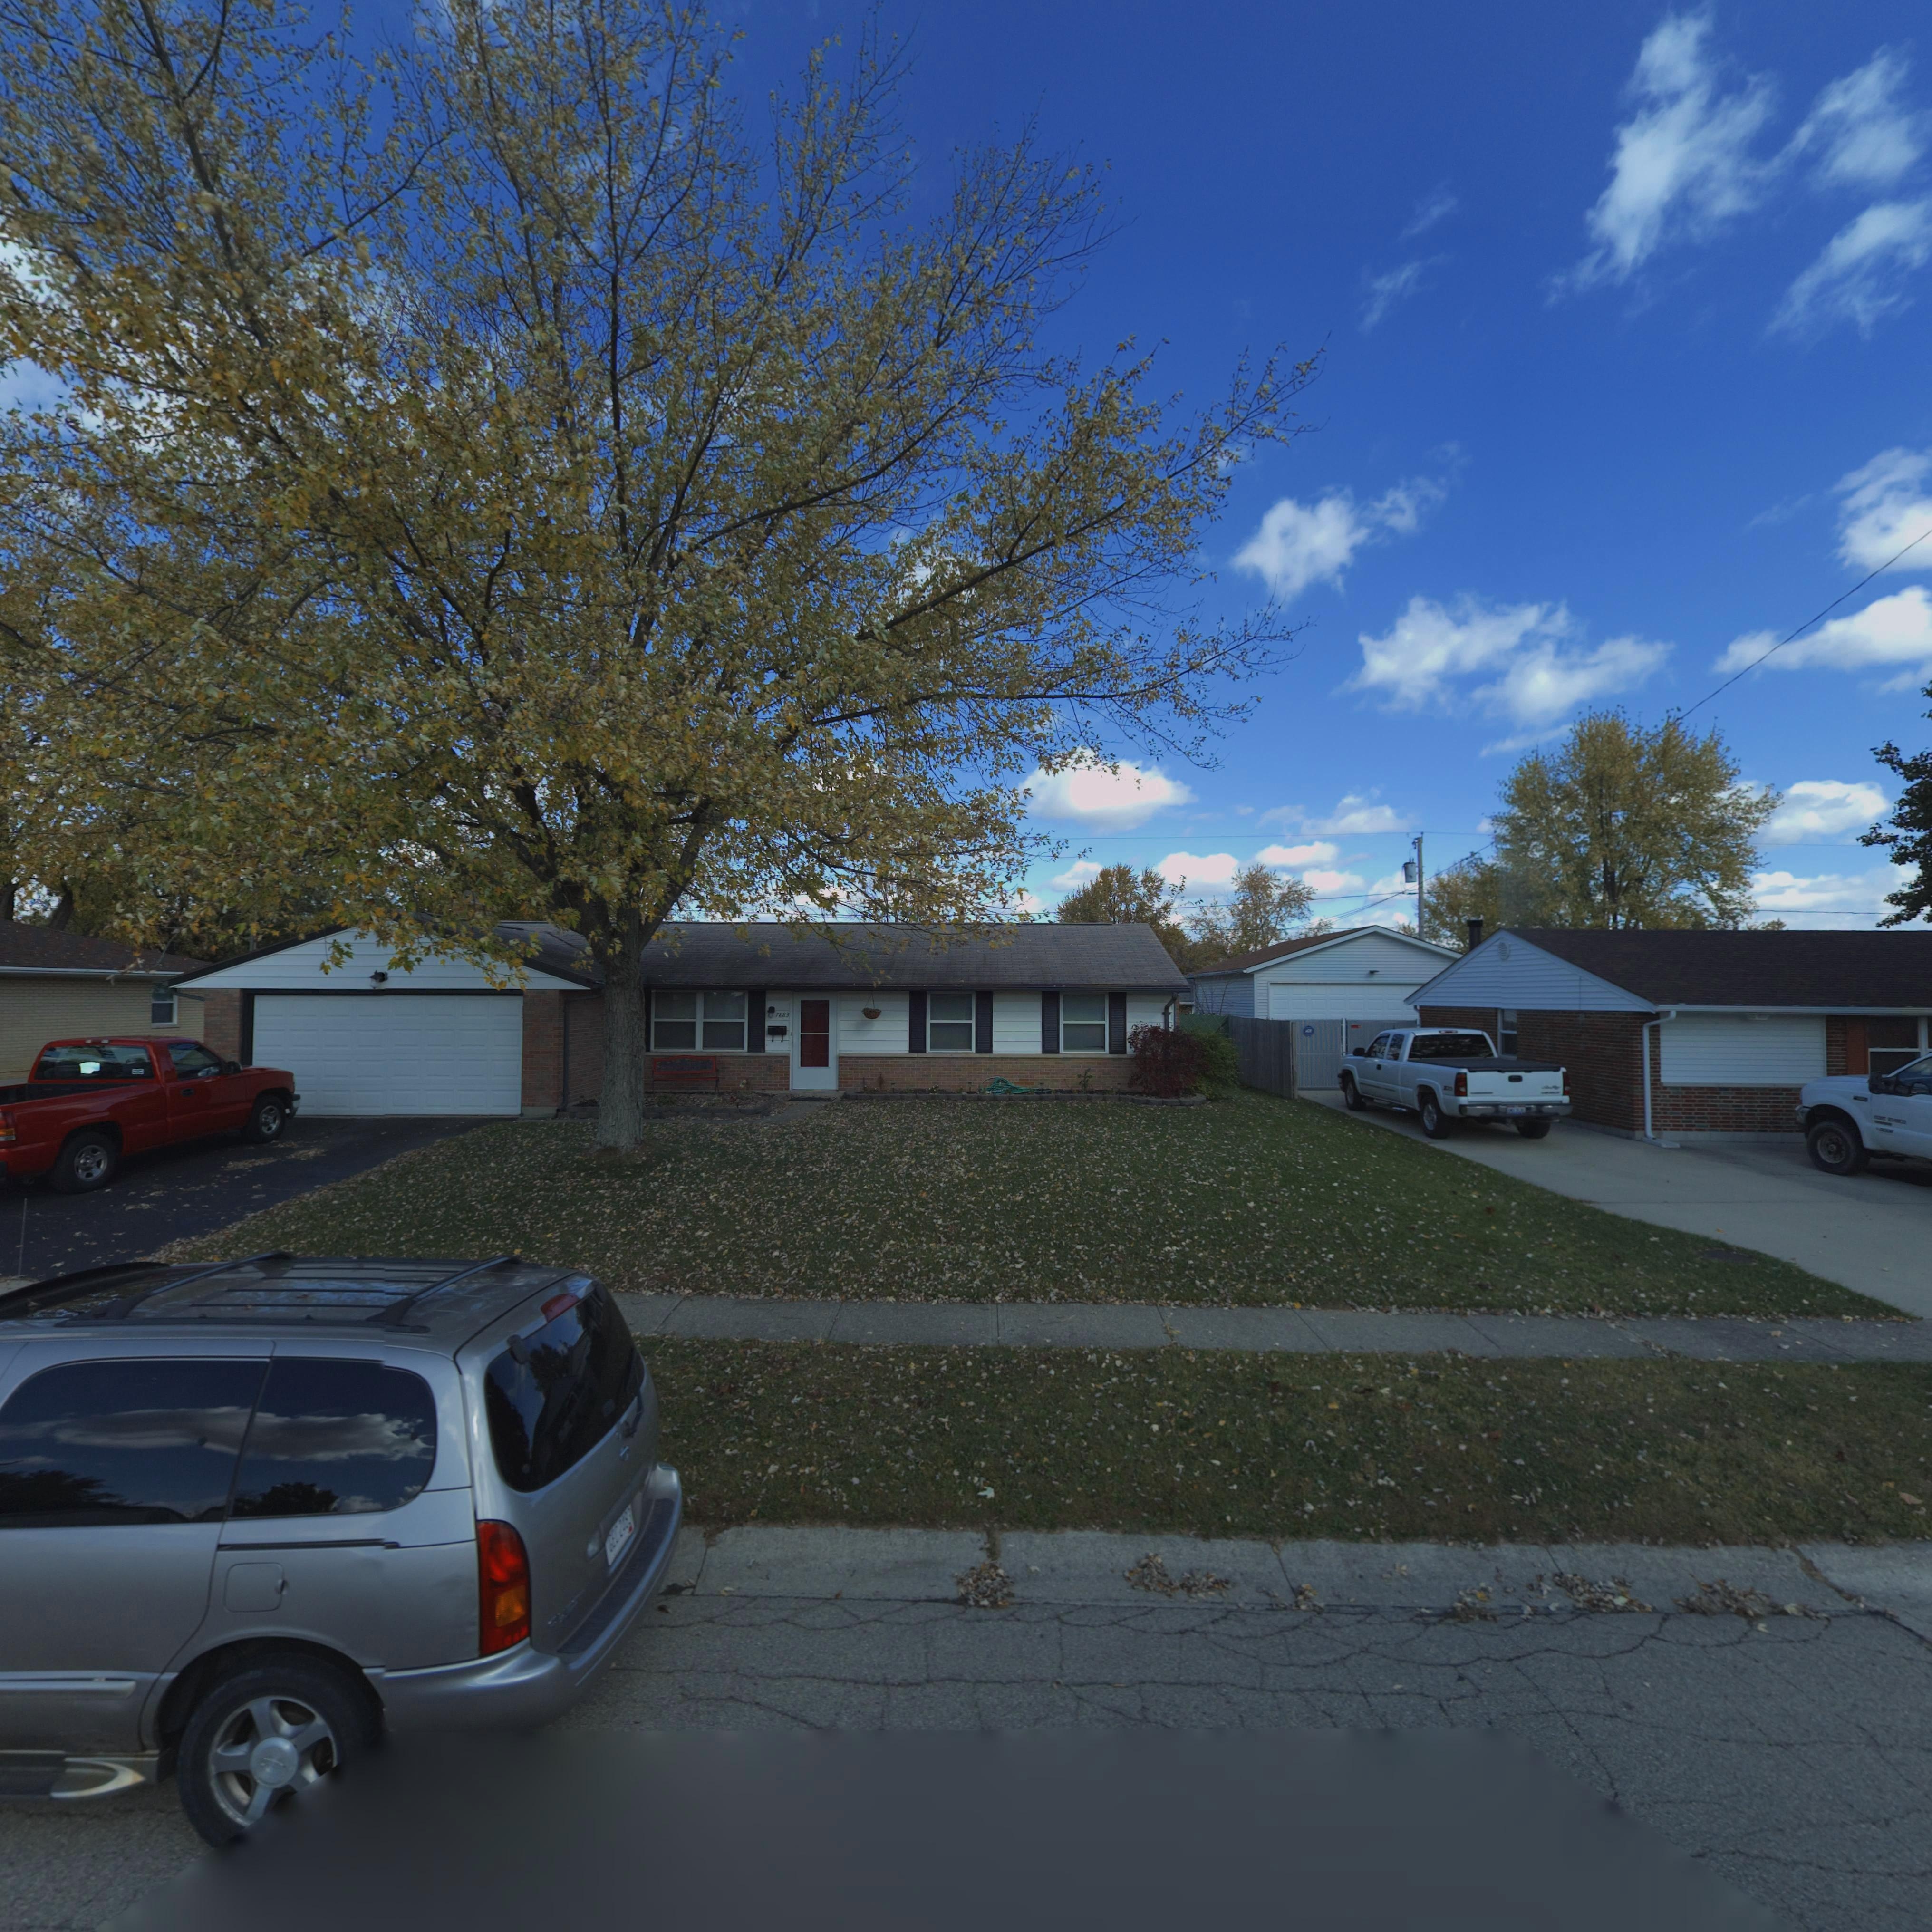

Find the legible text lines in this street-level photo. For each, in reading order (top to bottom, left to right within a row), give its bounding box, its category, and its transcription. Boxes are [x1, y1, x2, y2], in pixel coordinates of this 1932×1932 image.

[775, 1012, 790, 1018] StreetNumber: 7883